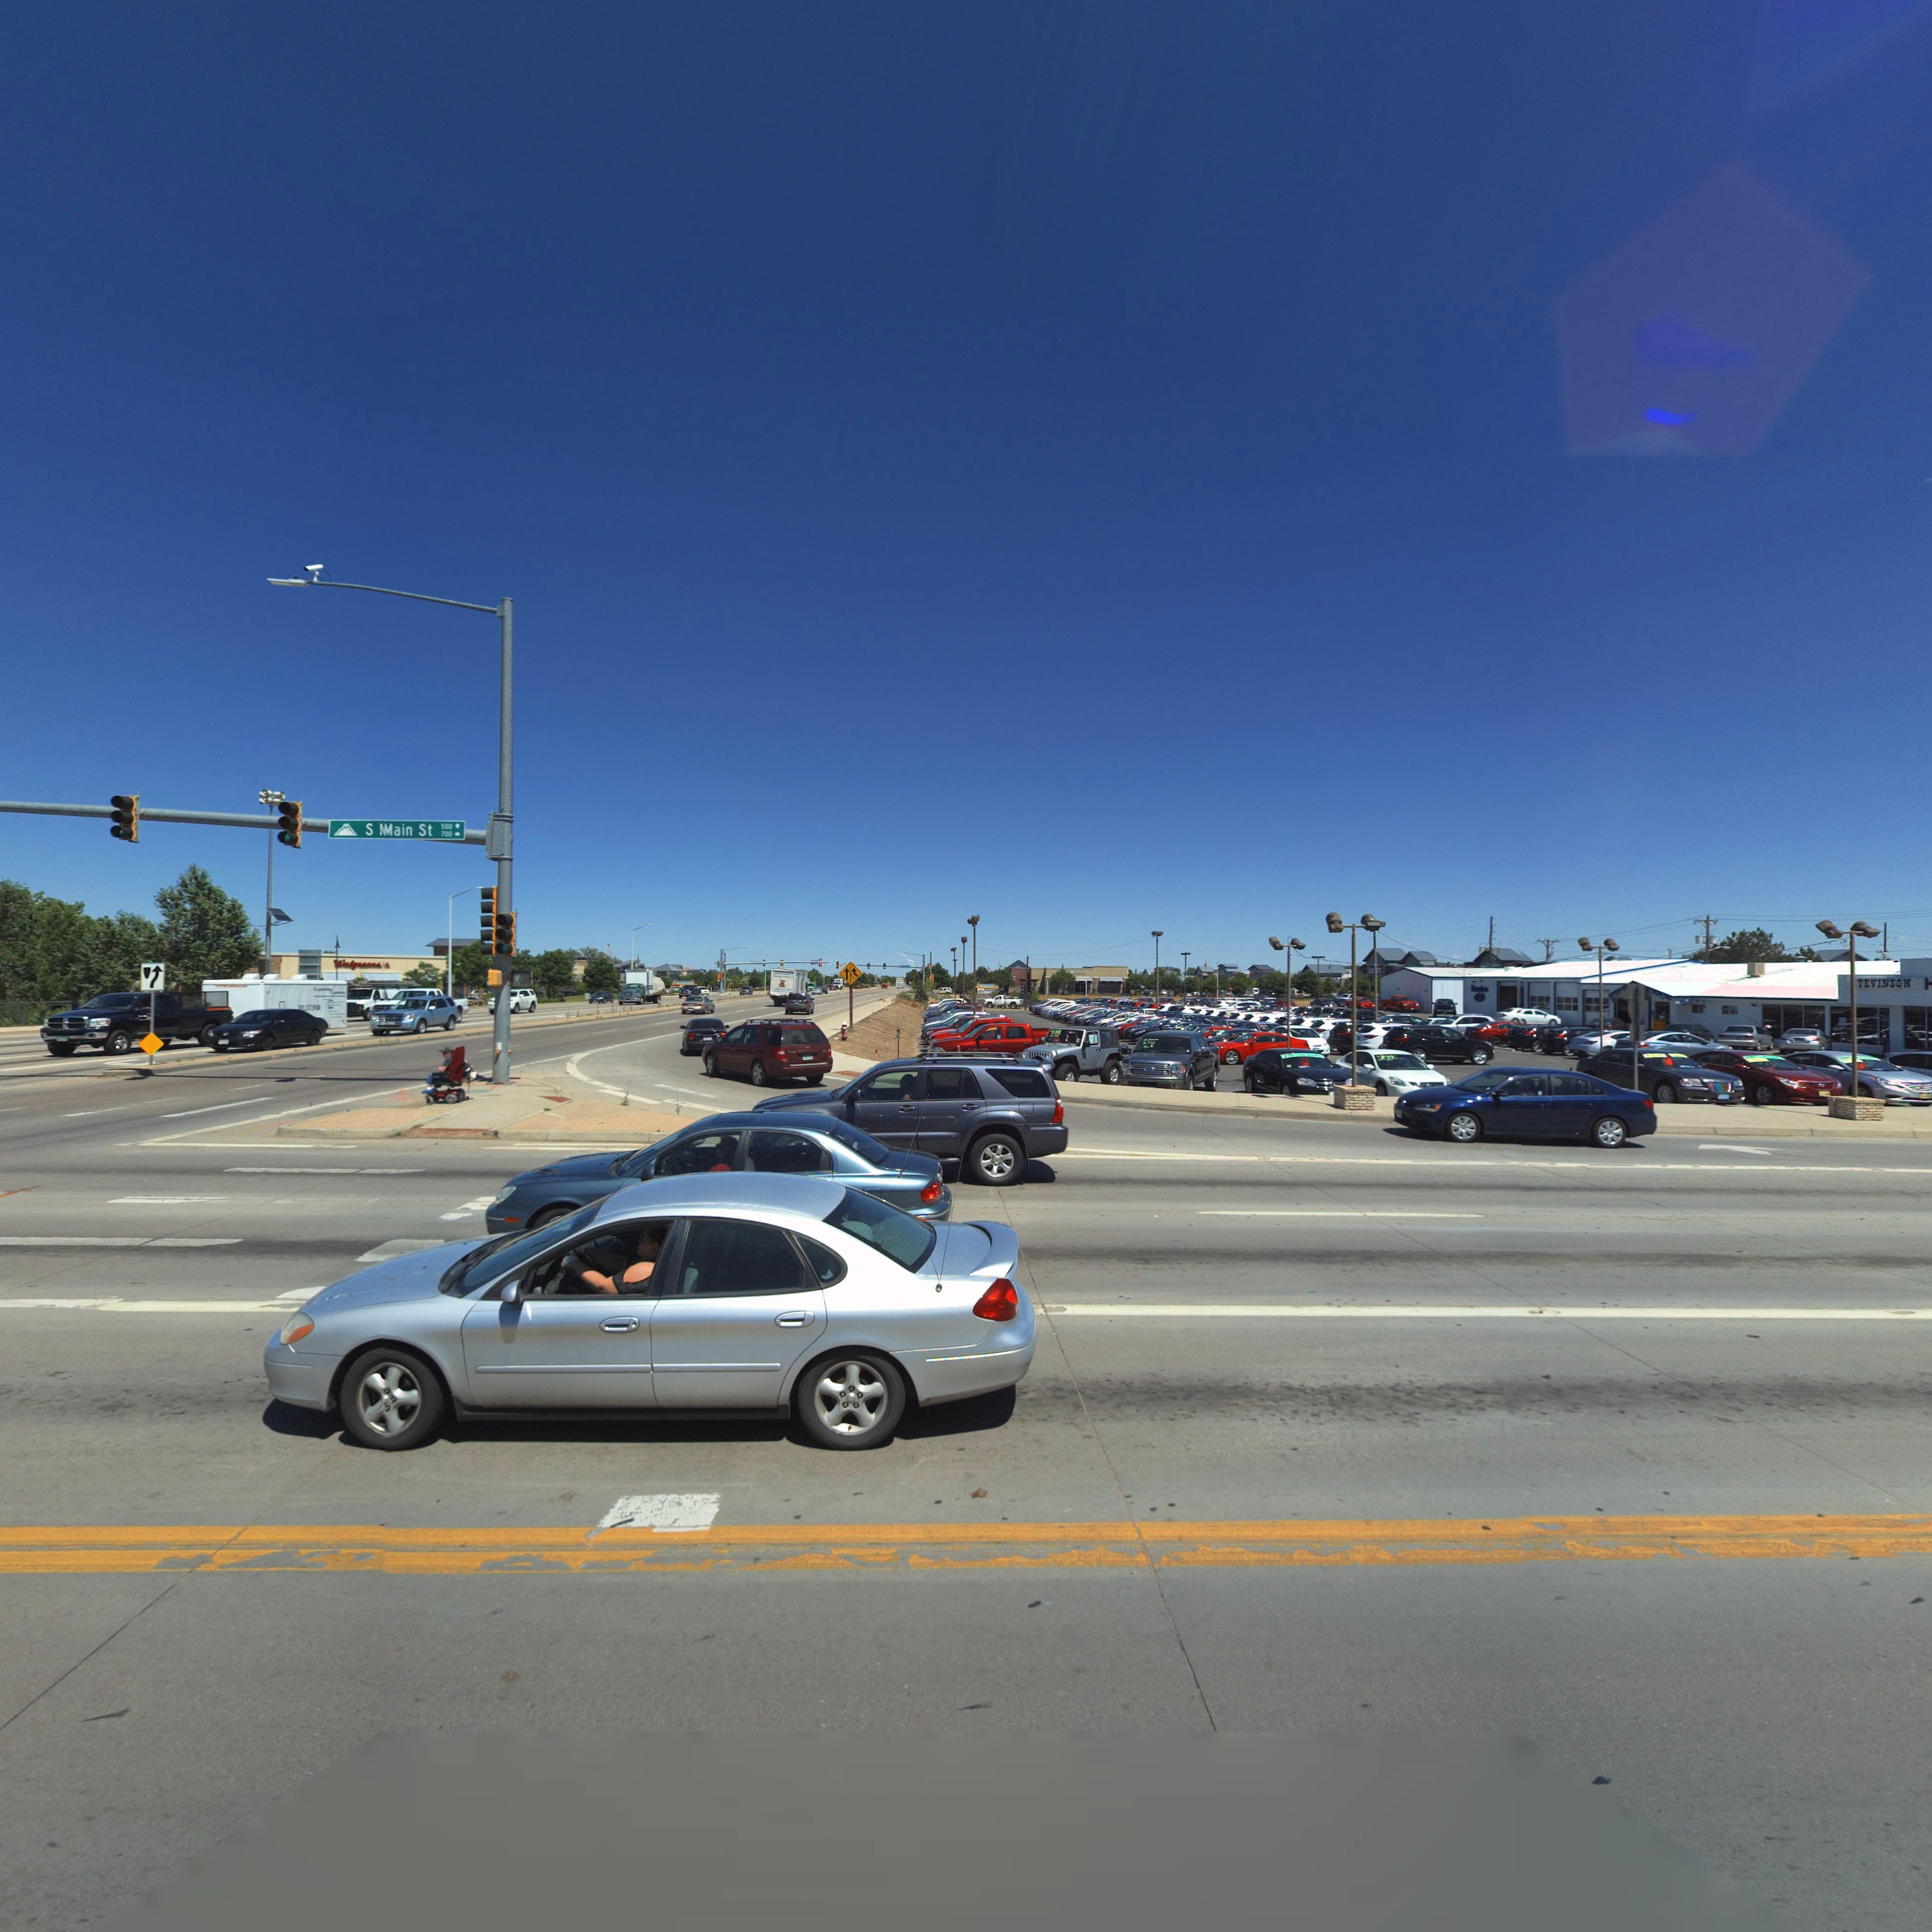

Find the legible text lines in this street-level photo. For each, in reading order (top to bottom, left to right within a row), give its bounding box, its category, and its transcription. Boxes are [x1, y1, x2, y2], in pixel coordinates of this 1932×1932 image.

[365, 822, 434, 836] StreetName: S *ain St
[440, 822, 453, 830] StreetNumberRange: 500
[441, 831, 461, 837] StreetNumberRange: 700 ->
[333, 958, 381, 969] BusinessName: Walg*****
[1369, 966, 1382, 974] BusinessName: LO*E'S
[1851, 978, 1912, 988] BusinessName: *TEVINSON